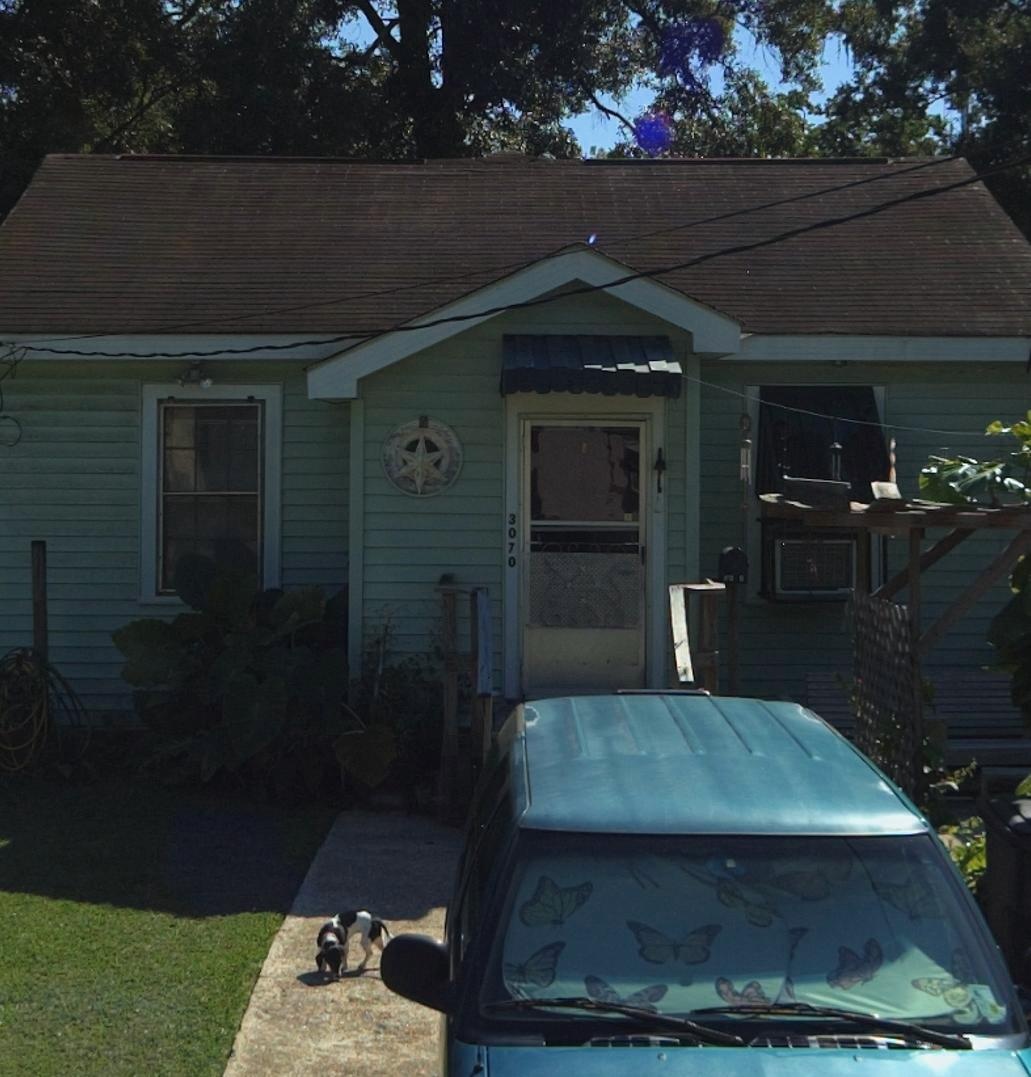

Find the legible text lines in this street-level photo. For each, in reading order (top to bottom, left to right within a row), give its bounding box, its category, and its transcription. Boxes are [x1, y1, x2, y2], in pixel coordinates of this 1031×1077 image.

[507, 512, 518, 570] StreetNumber: 3070